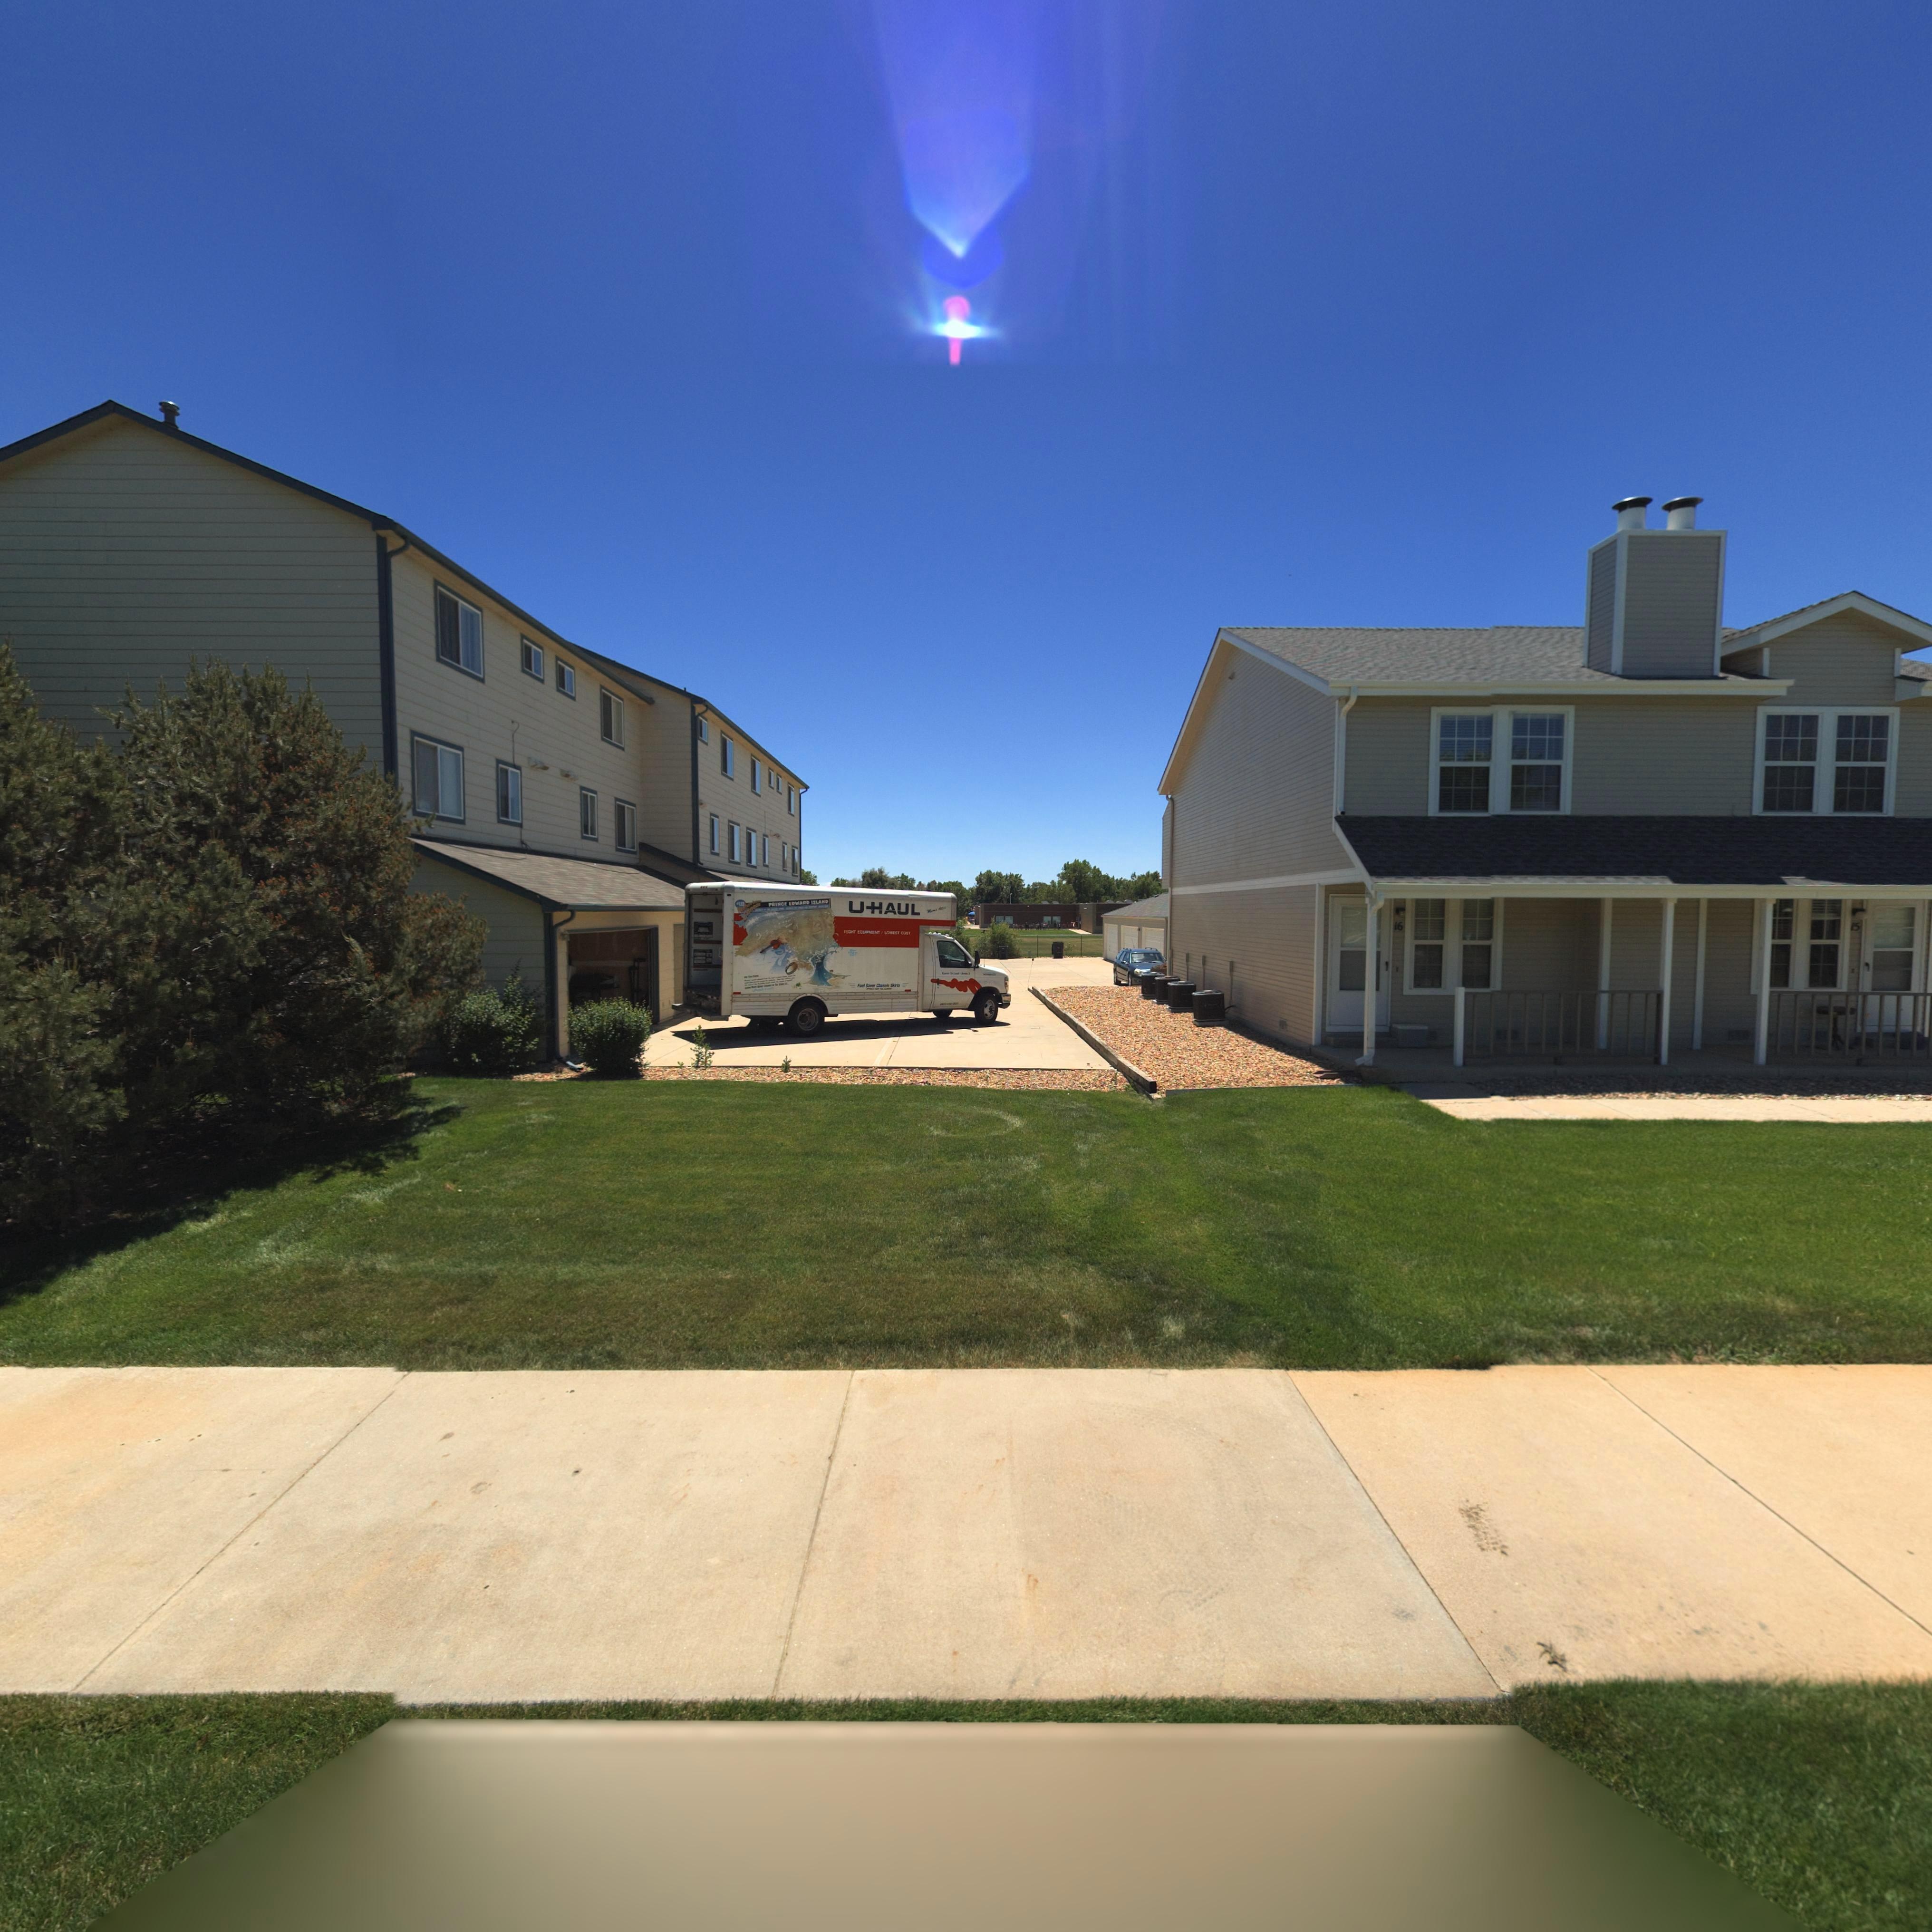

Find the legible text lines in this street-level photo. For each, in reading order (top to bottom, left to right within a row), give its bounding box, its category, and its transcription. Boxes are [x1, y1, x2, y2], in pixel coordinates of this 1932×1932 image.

[1393, 920, 1404, 931] StreetNumber: 16
[1849, 921, 1860, 932] StreetNumber: 15